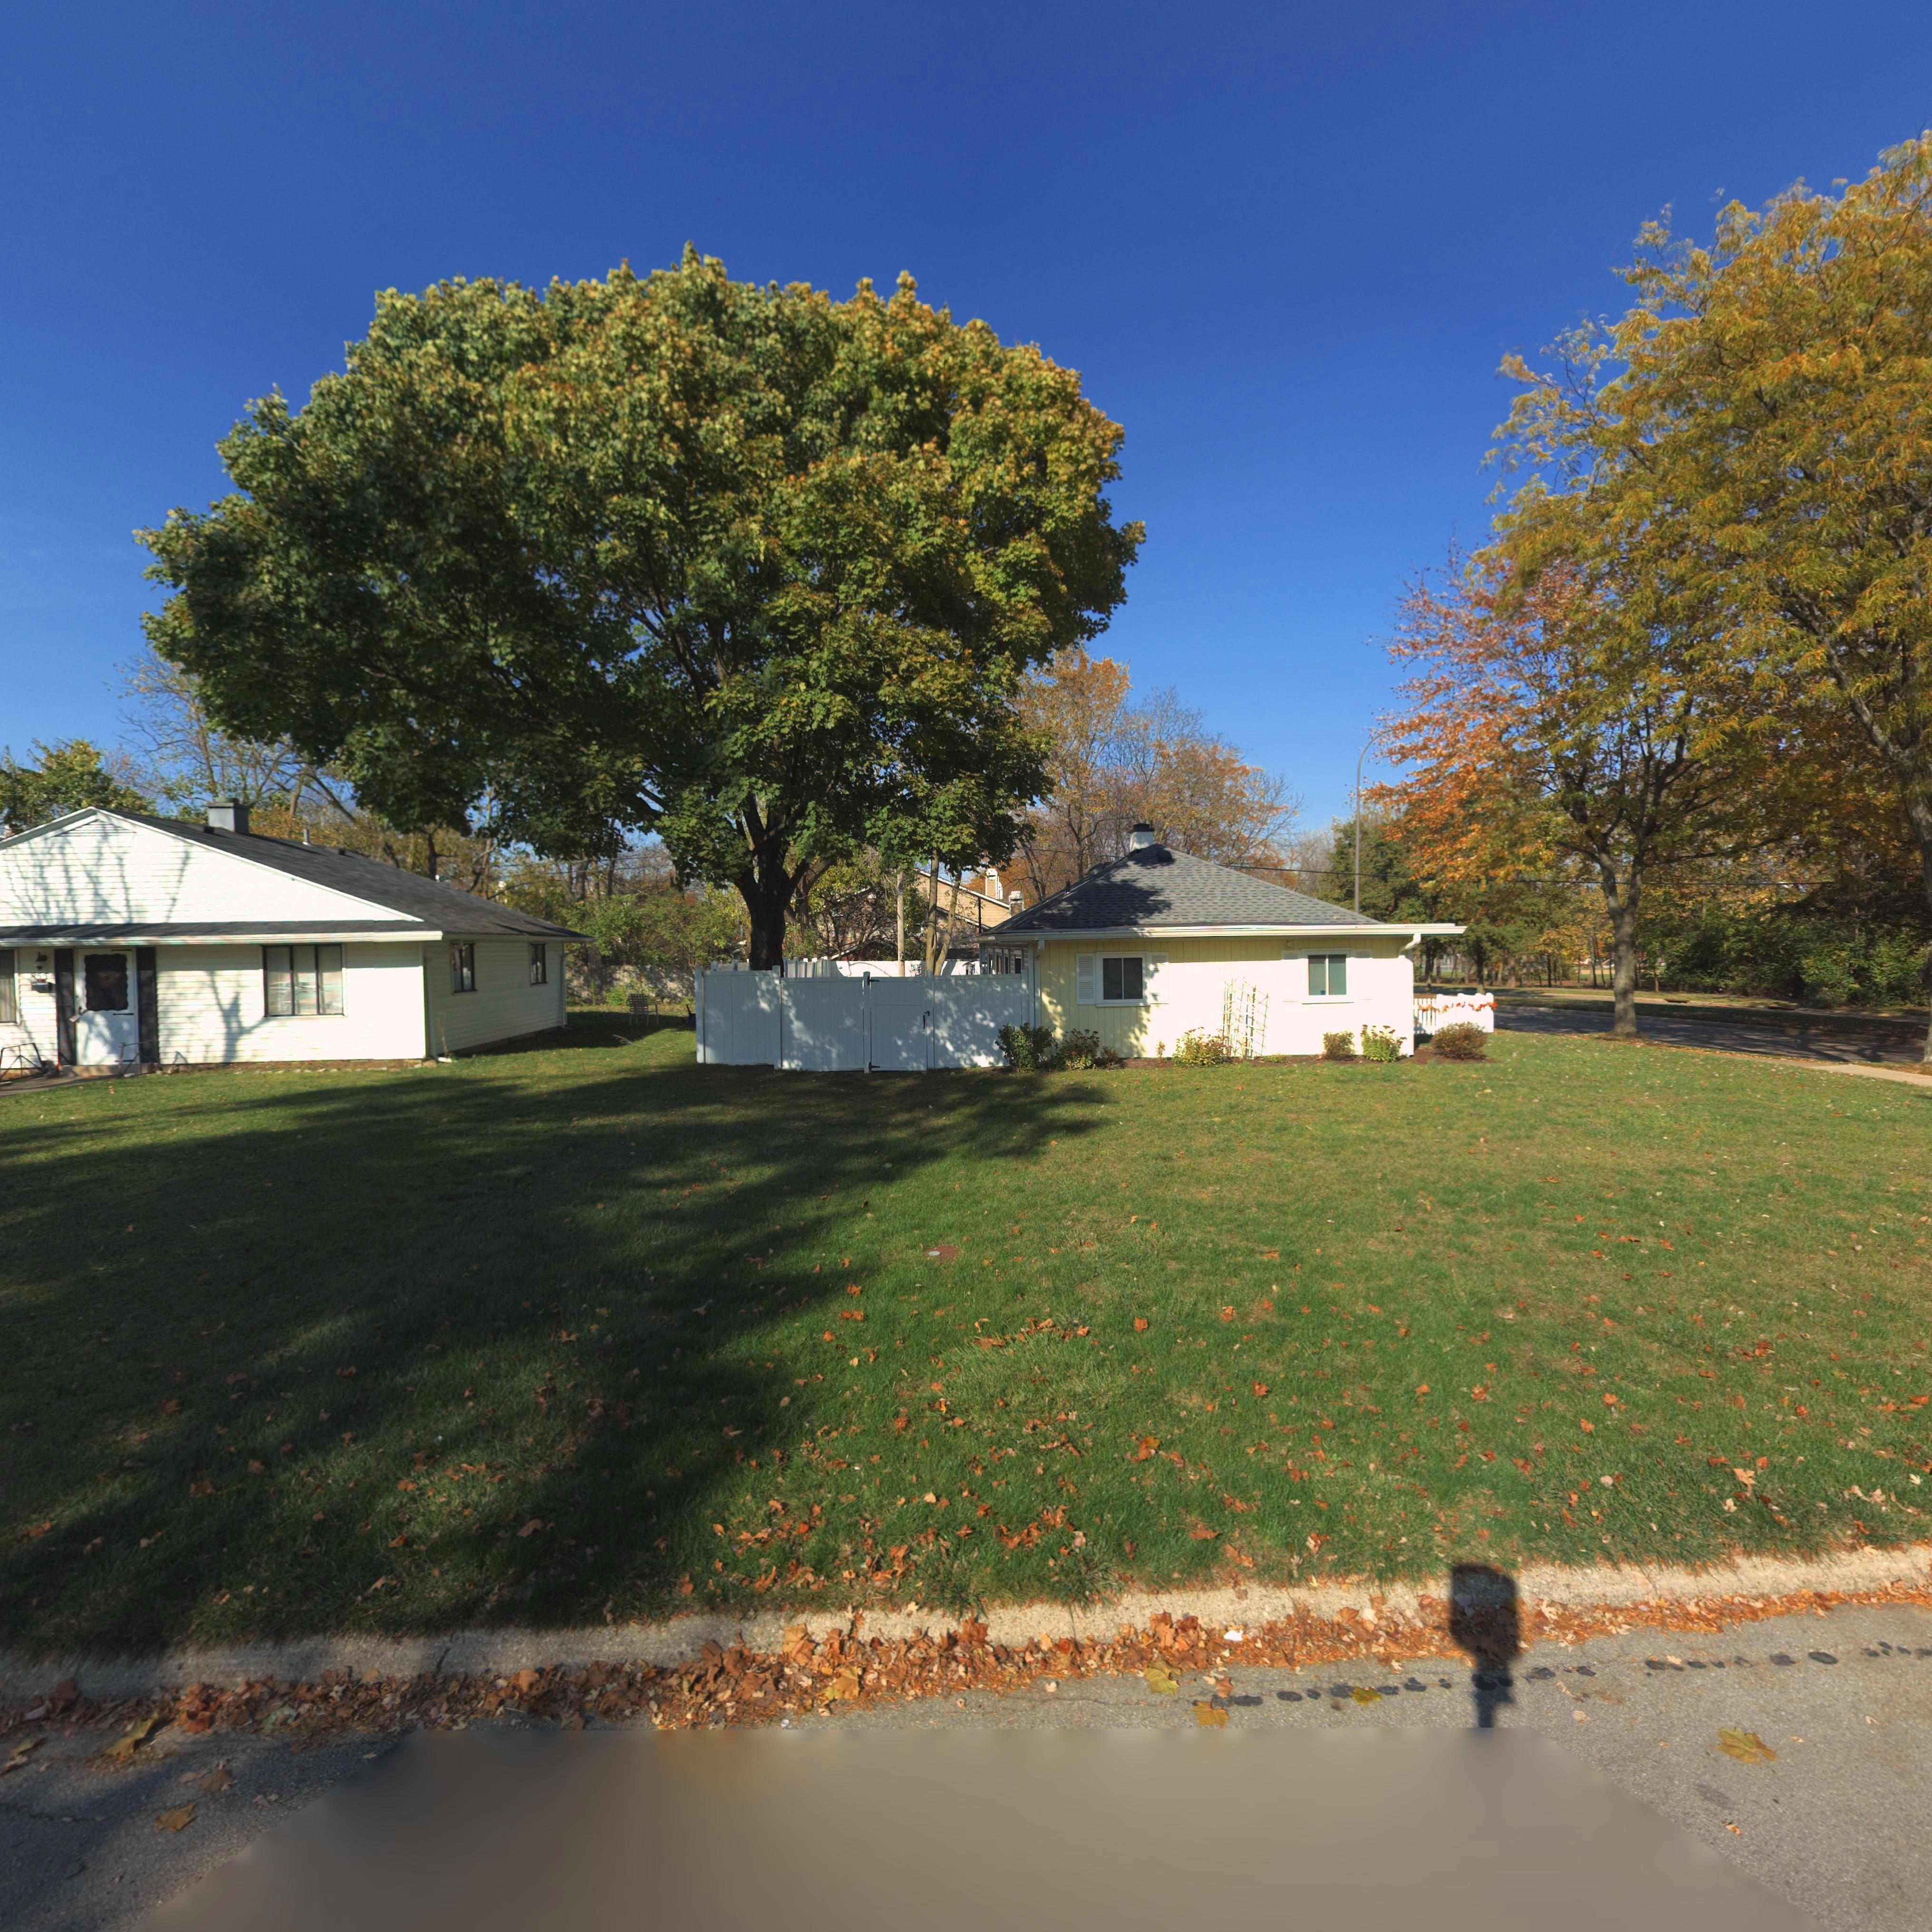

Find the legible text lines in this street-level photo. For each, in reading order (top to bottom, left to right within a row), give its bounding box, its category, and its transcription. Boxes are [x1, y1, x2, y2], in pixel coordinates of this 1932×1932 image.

[30, 972, 48, 979] StreetNumber: *55